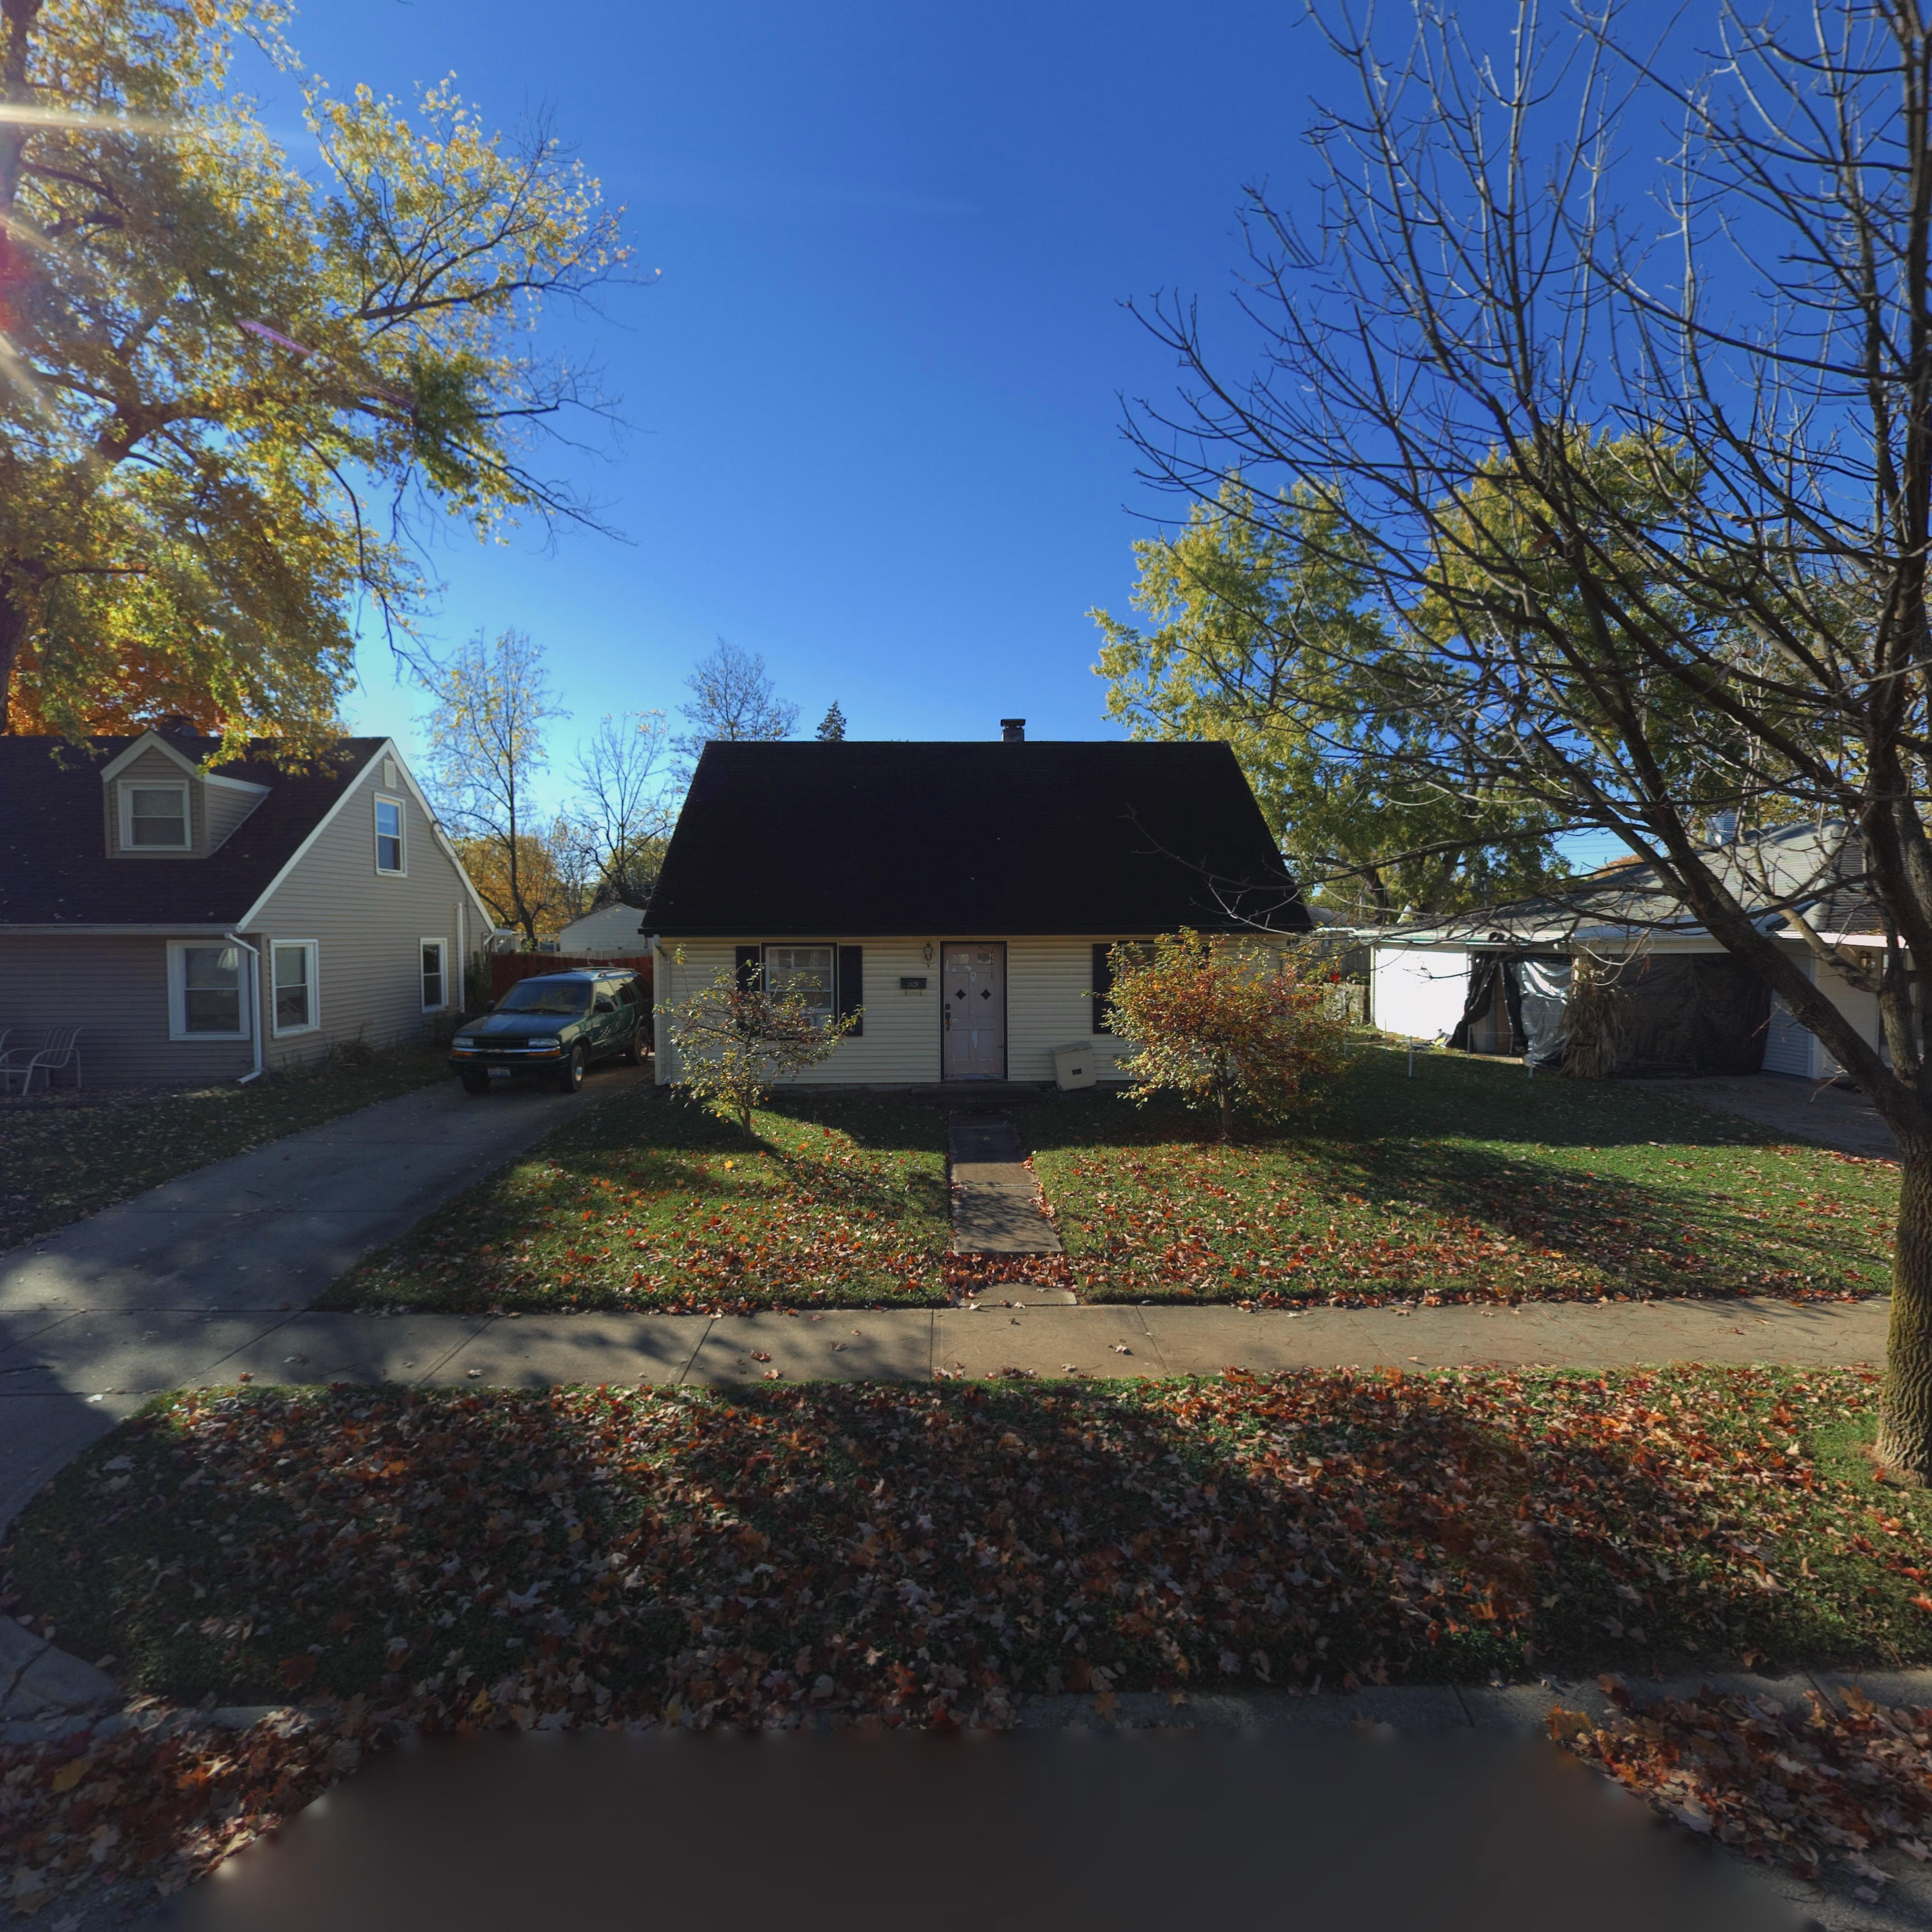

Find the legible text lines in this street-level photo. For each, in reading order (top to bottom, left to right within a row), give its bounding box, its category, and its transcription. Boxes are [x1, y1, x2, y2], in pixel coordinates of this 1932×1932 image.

[907, 981, 919, 988] StreetNumber: 2428